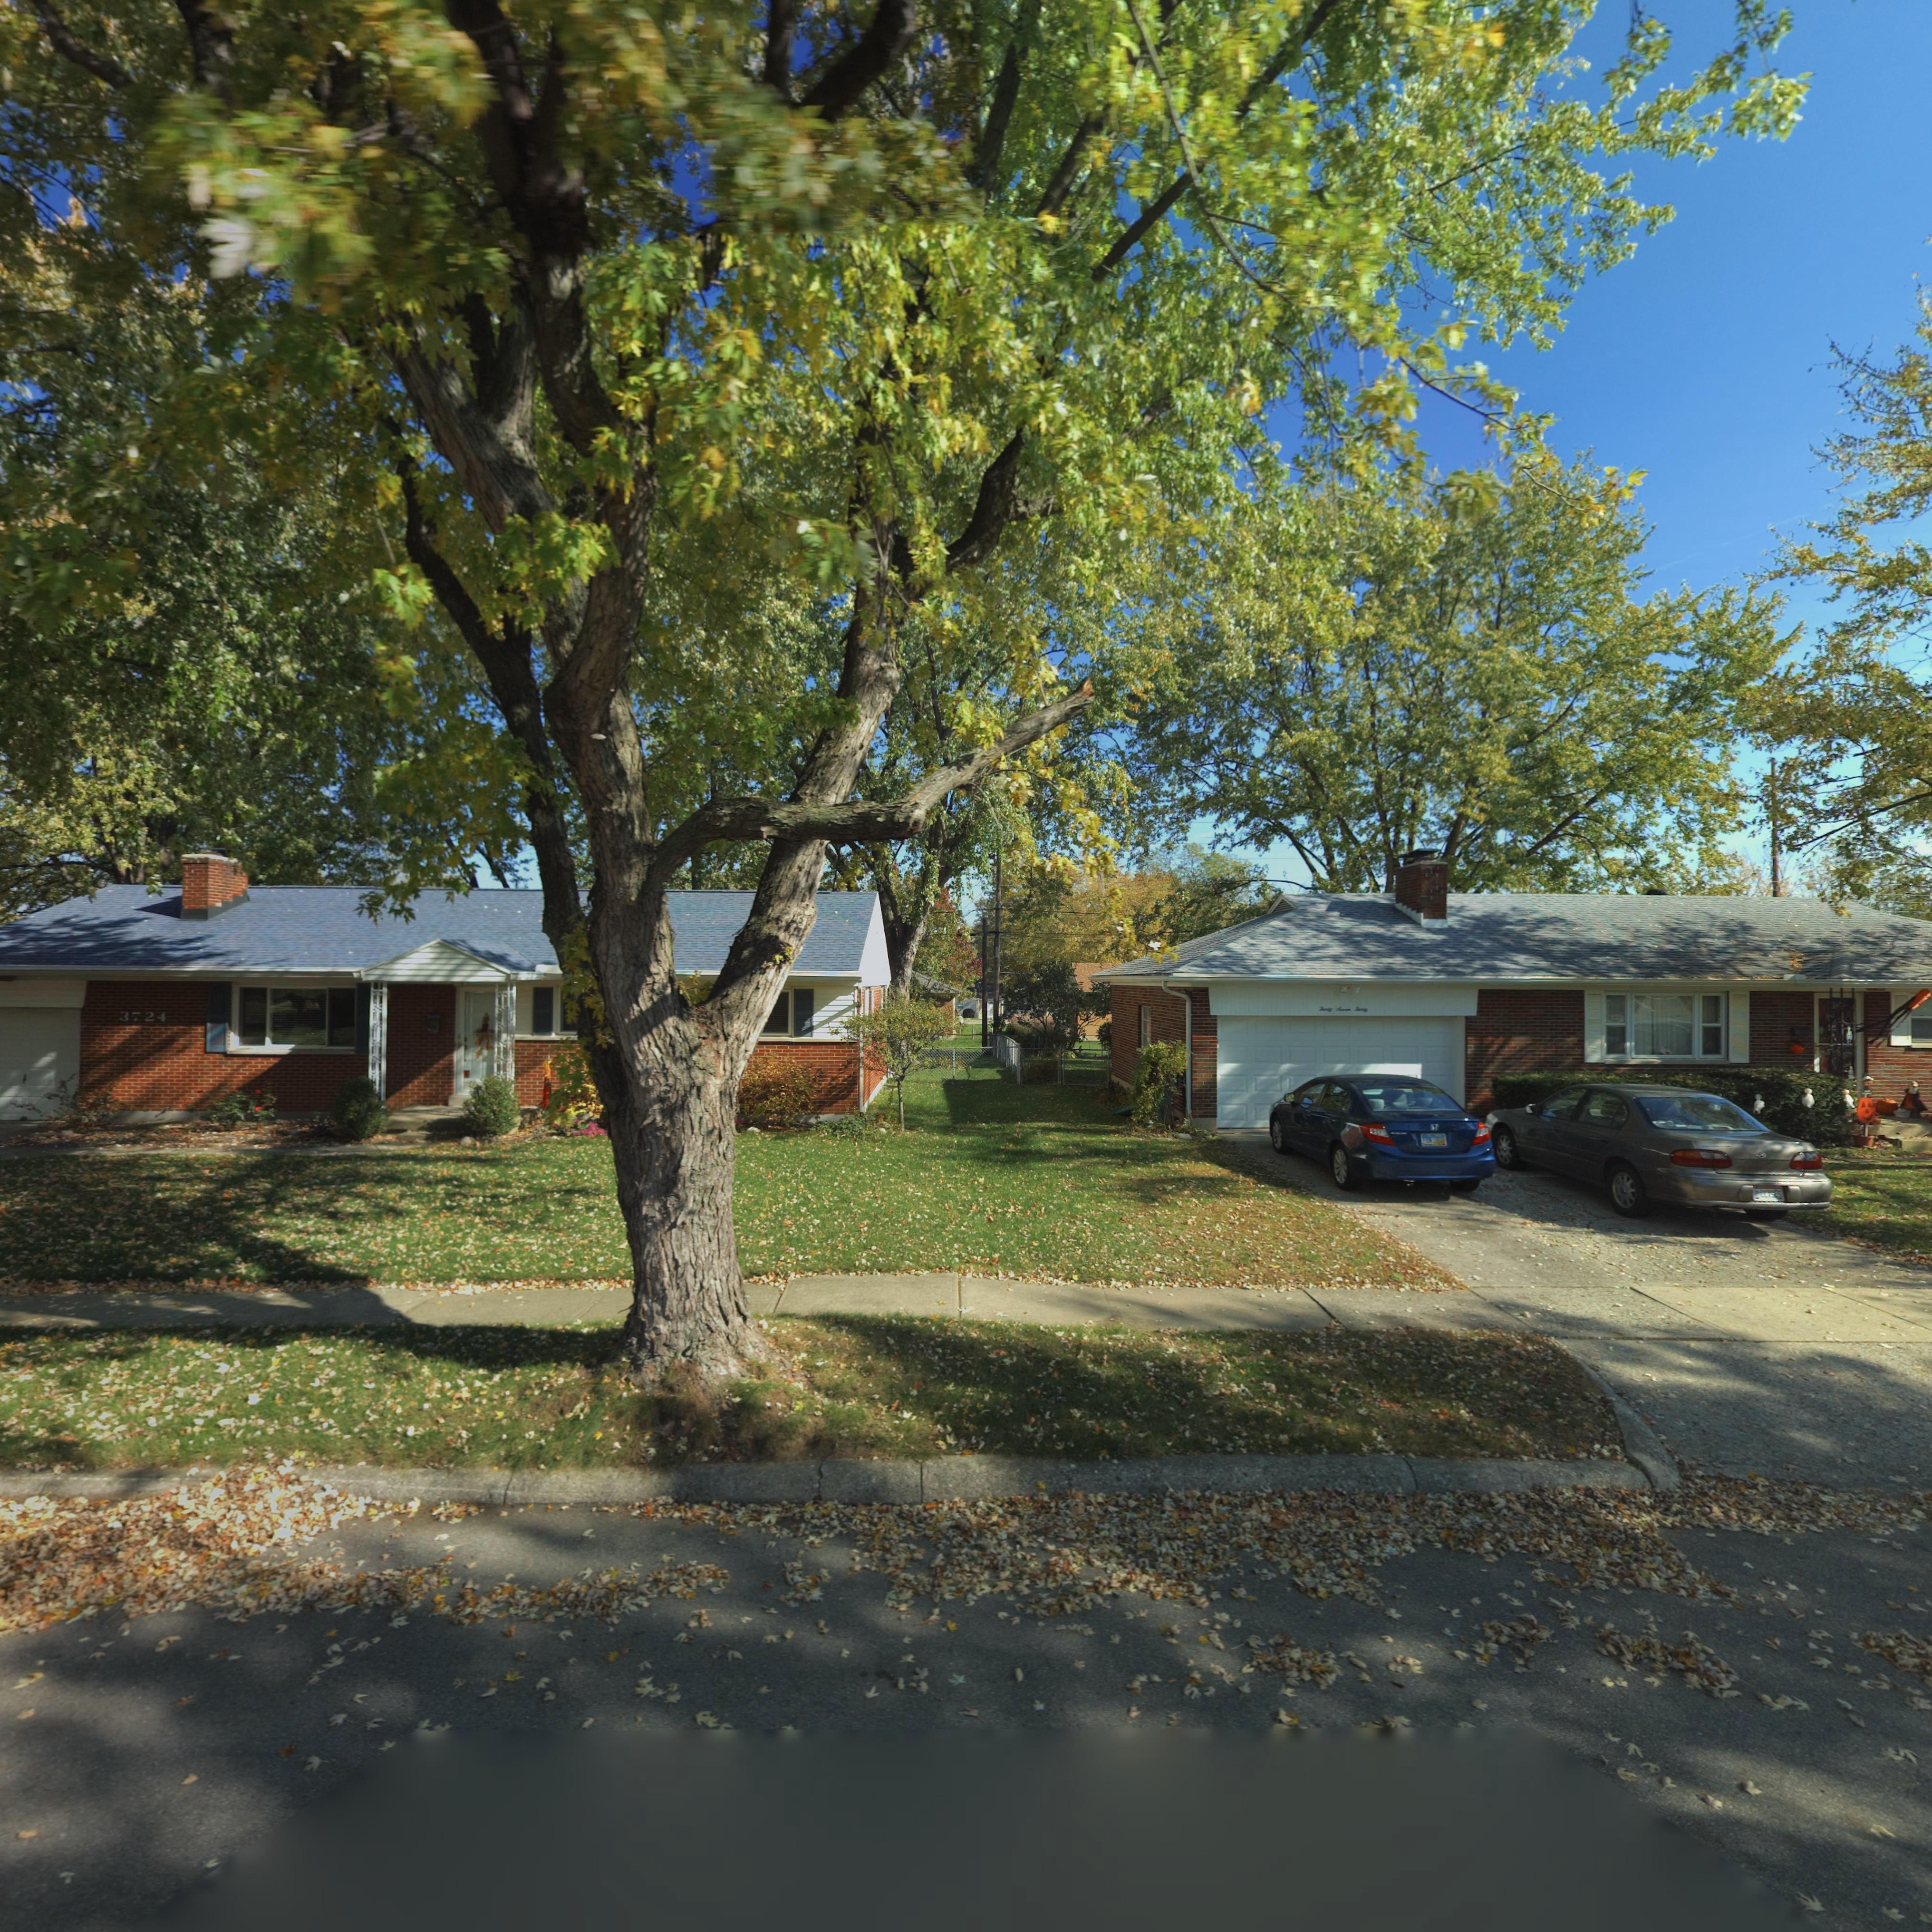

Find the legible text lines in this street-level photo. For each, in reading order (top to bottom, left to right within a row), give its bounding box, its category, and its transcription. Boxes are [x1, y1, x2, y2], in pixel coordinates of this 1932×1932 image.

[118, 1009, 168, 1023] StreetNumber: 3724